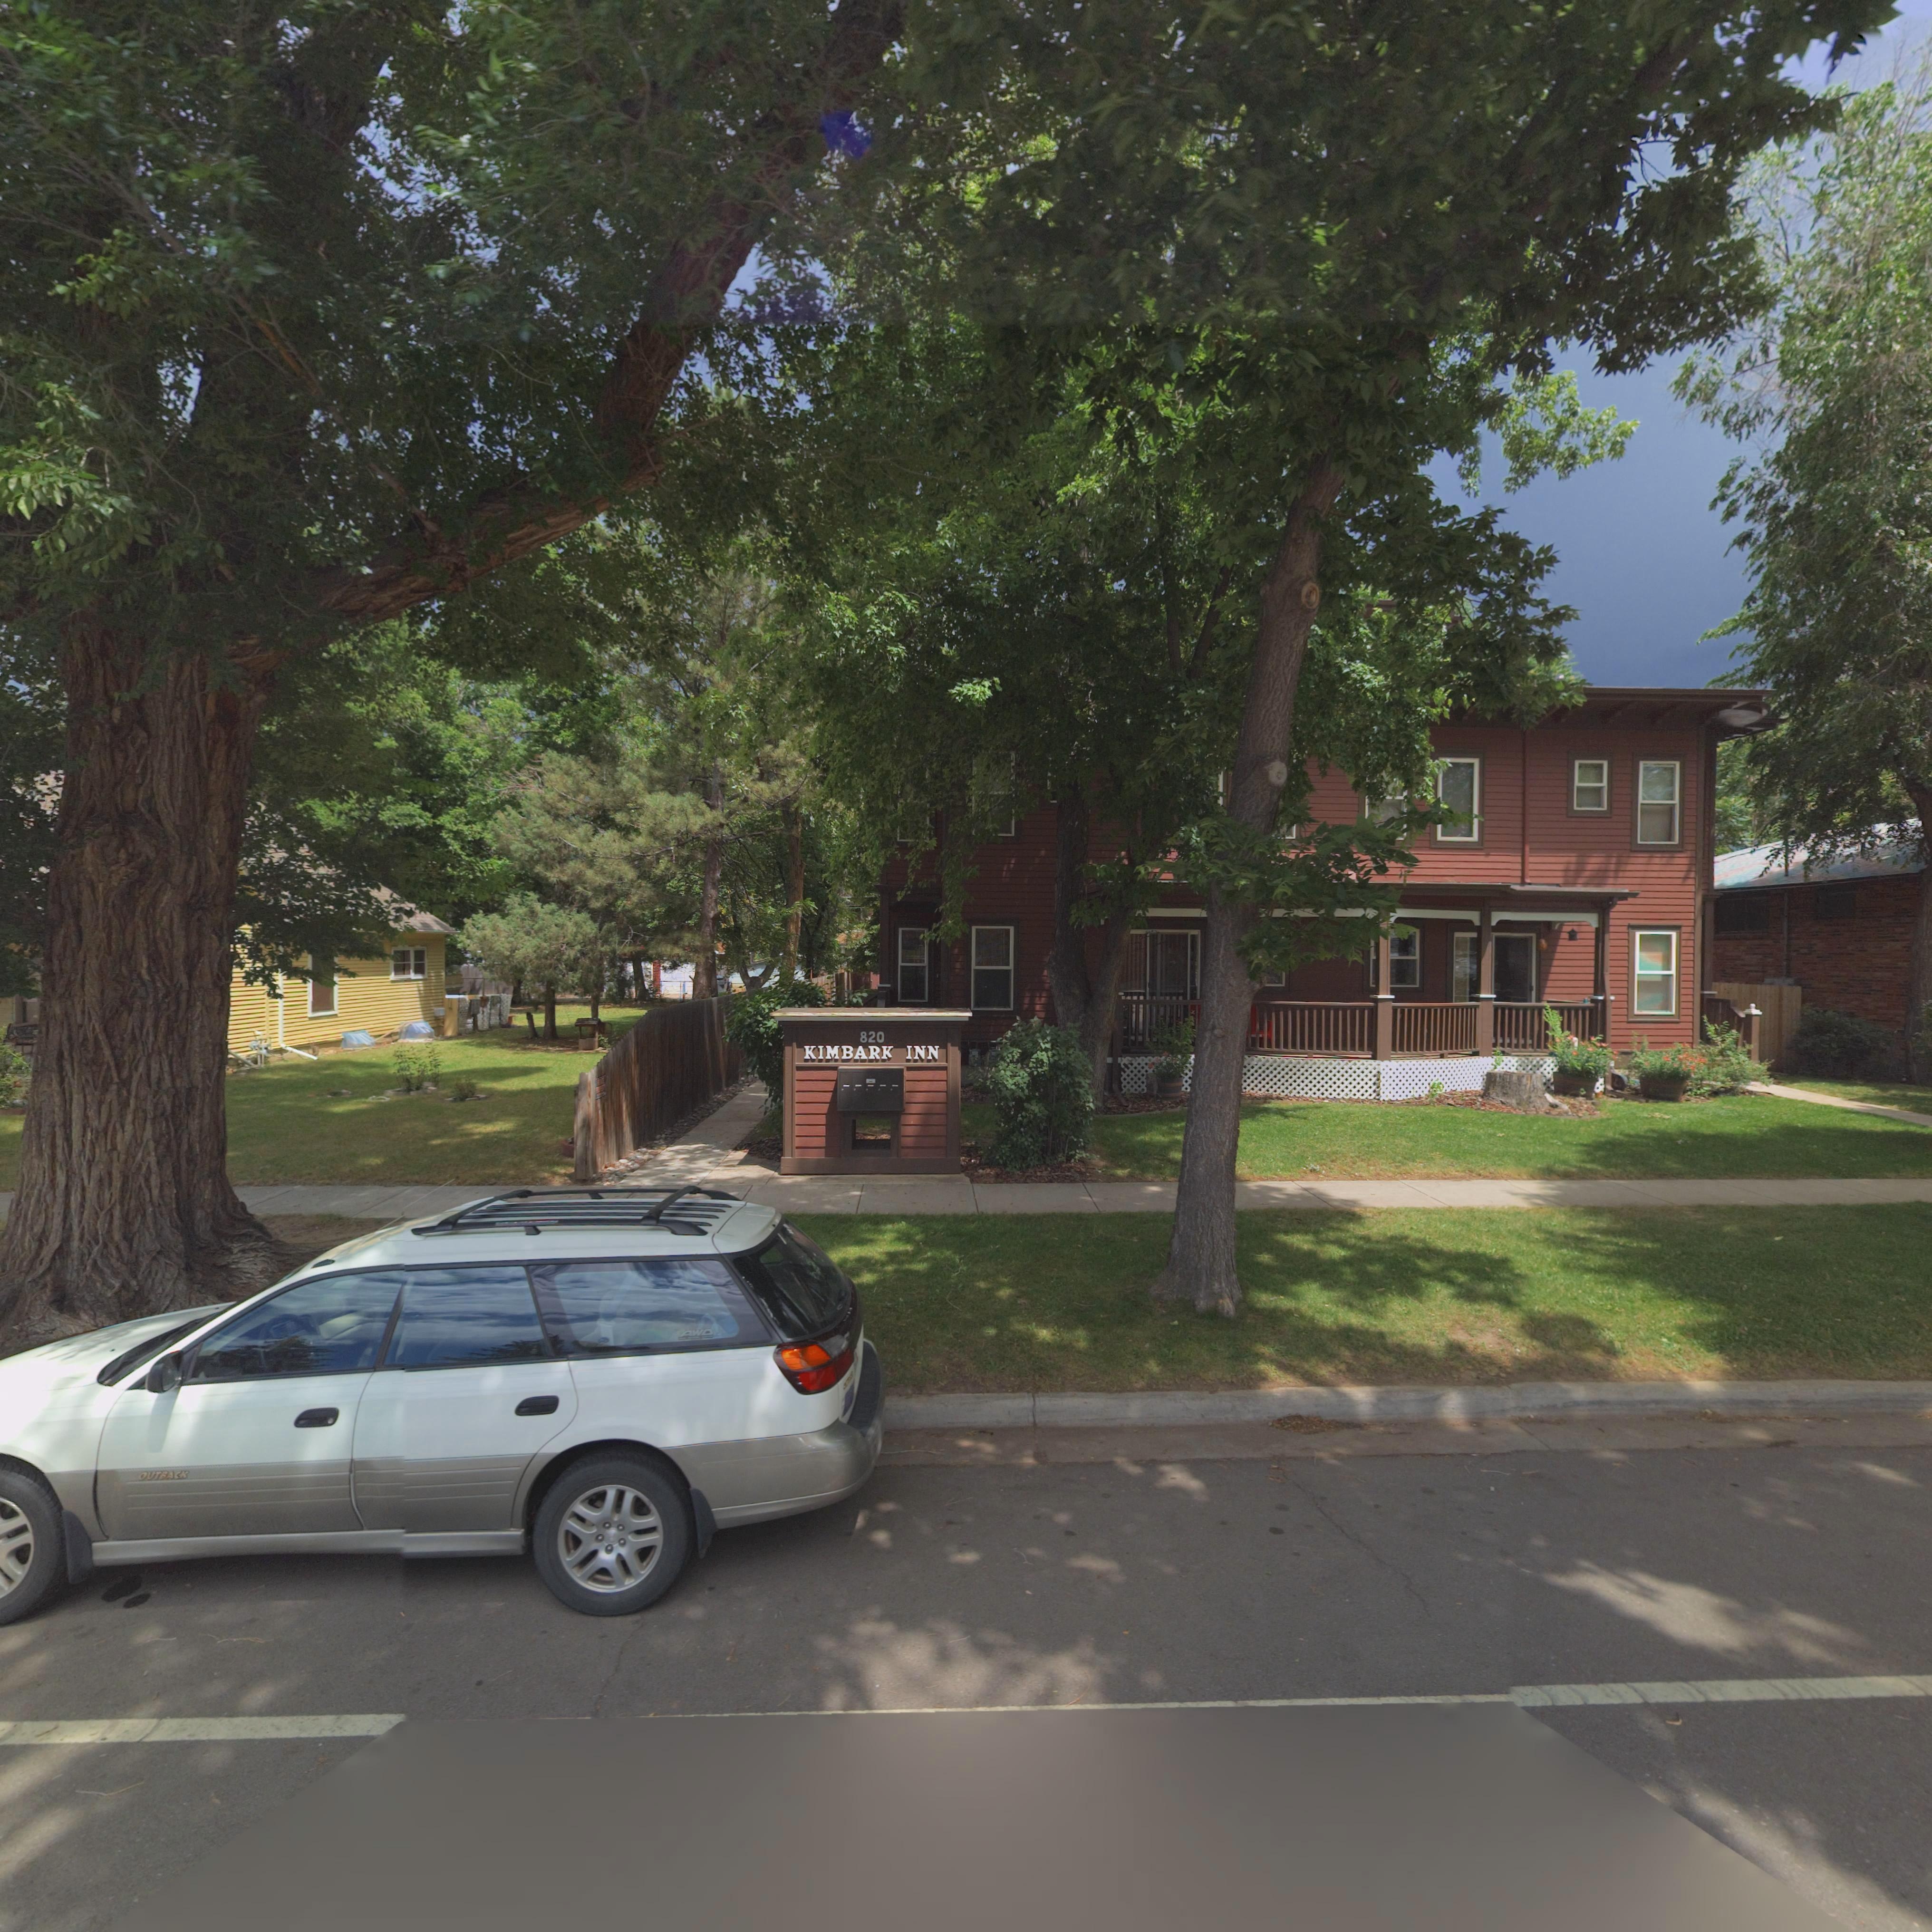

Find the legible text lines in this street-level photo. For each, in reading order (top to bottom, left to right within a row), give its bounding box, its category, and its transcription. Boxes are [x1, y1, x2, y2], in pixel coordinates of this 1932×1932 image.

[859, 1030, 885, 1043] StreetNumber: 820
[803, 1045, 939, 1060] BusinessName: KIMBARK INN